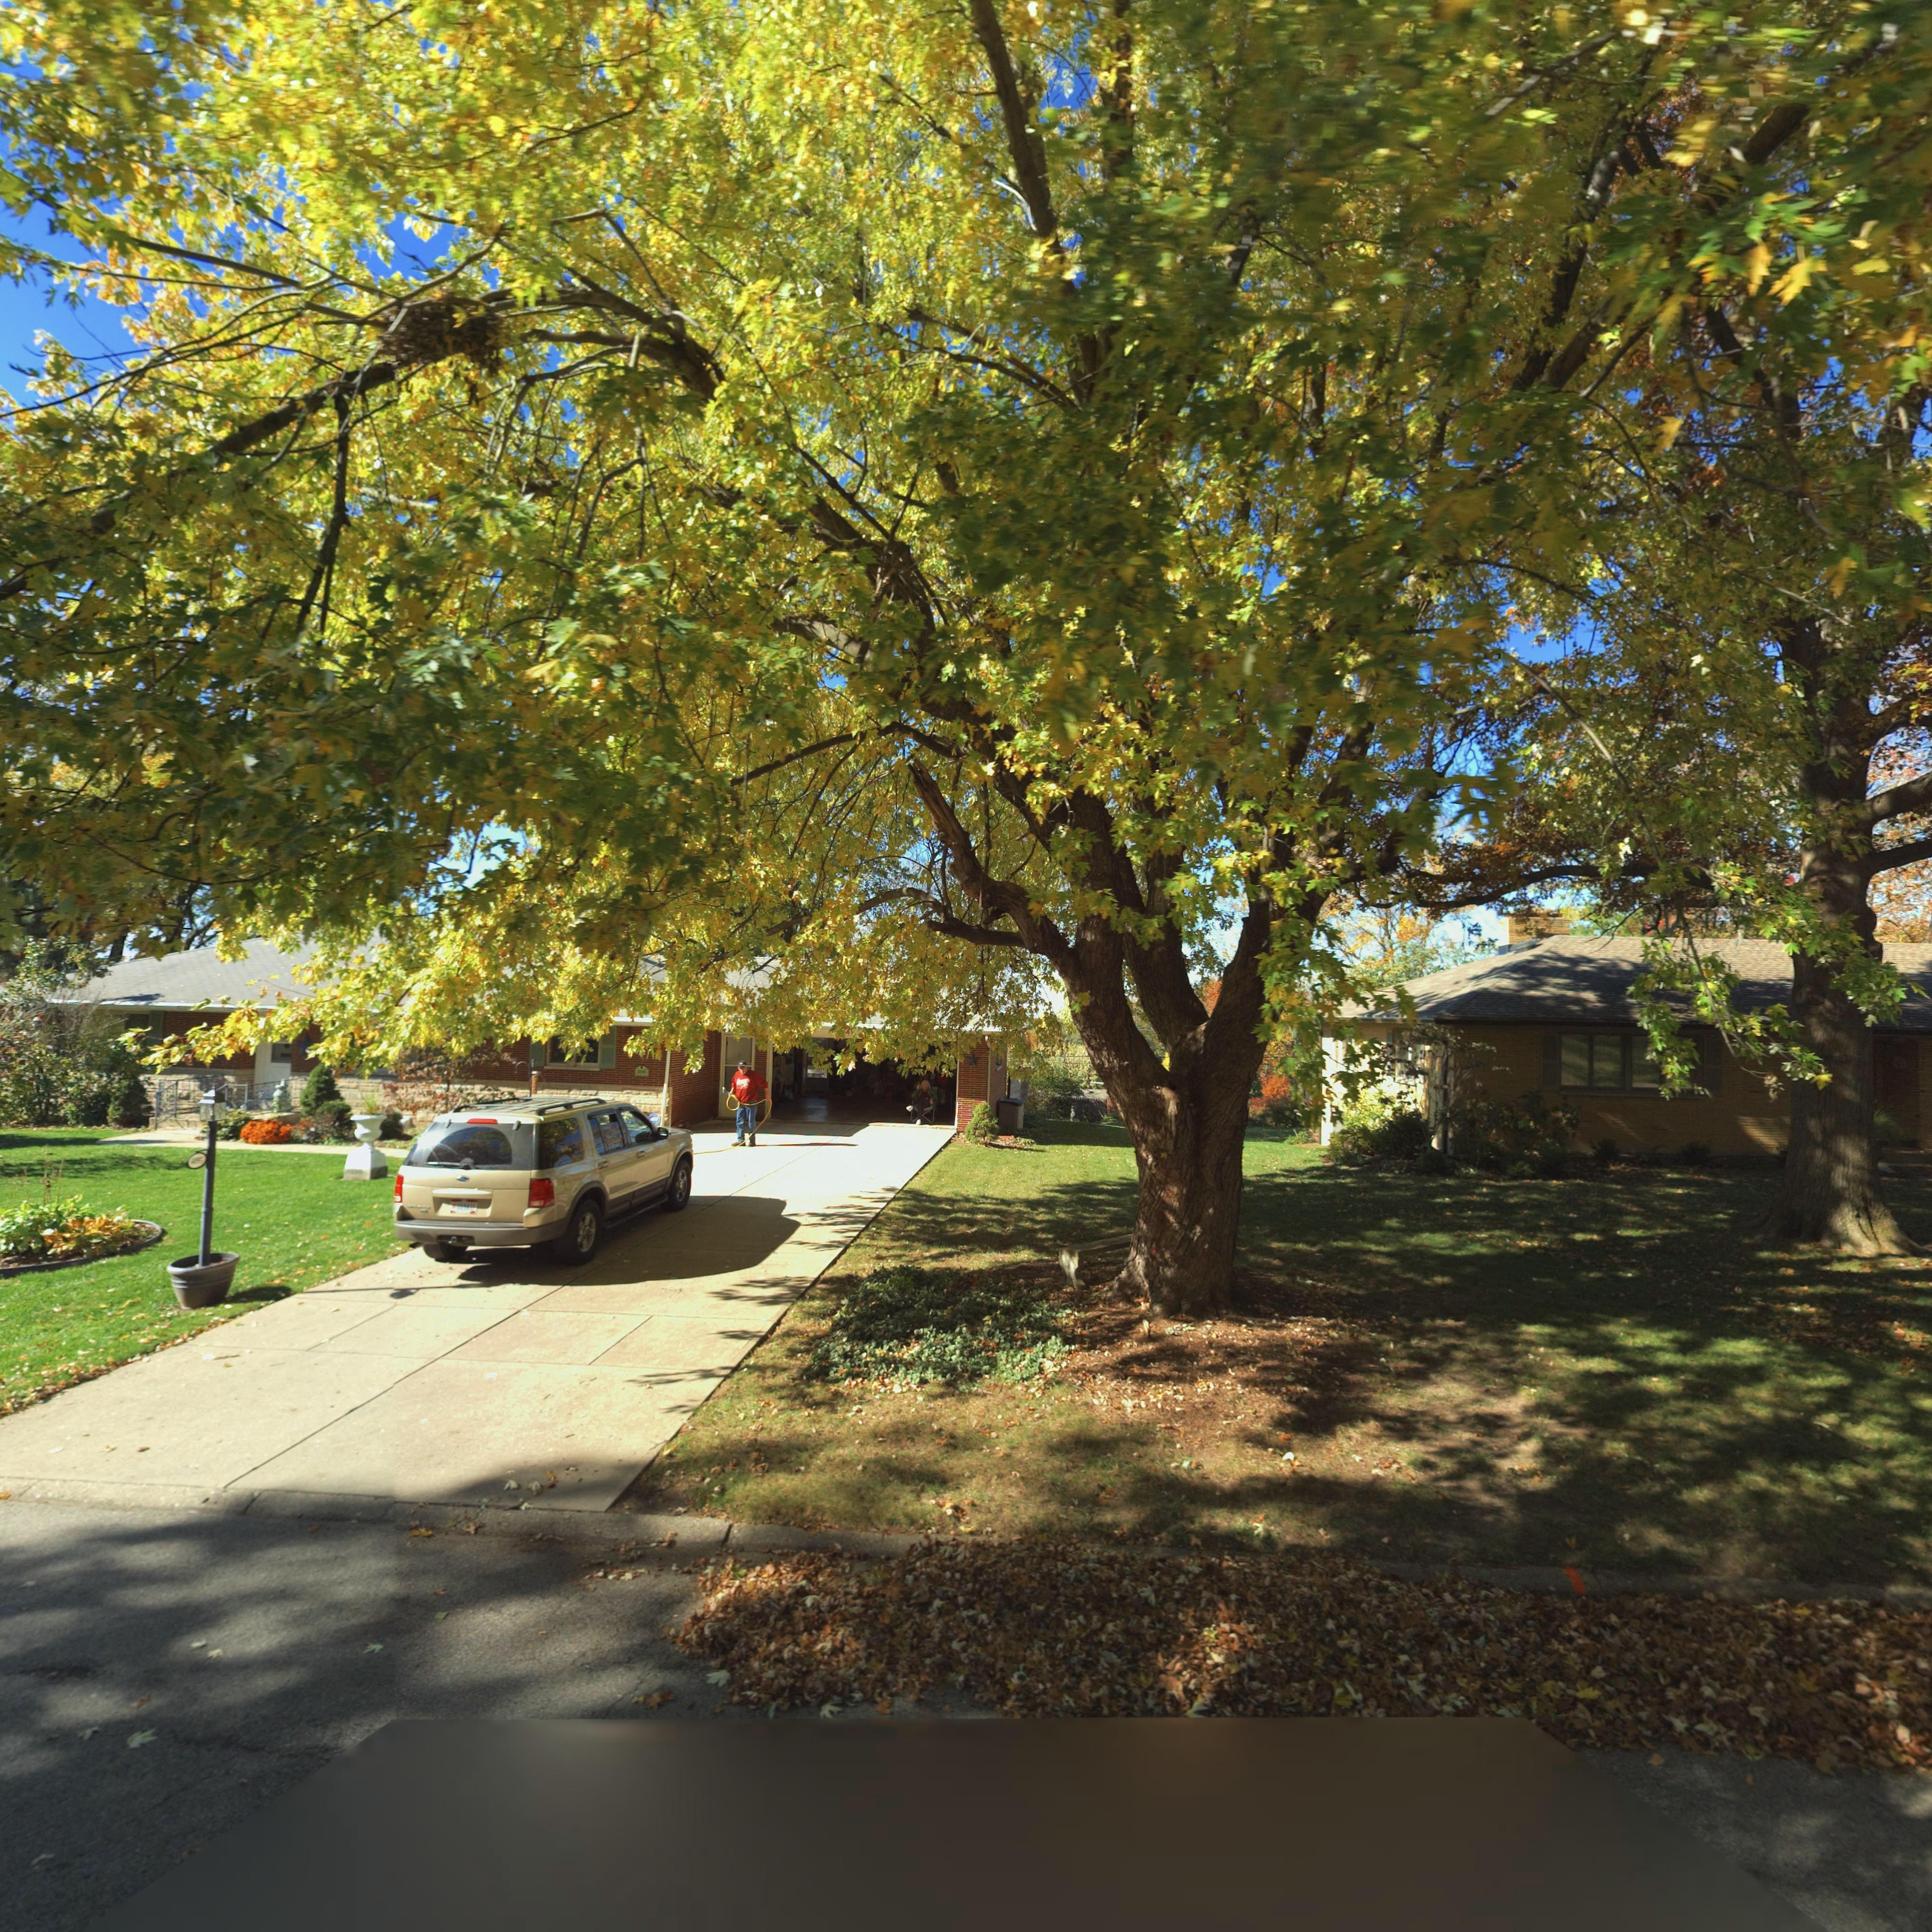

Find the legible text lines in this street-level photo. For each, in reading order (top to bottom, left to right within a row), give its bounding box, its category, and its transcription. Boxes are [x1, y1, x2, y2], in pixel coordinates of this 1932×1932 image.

[637, 1069, 647, 1074] StreetNumber: 4**3
[190, 1156, 203, 1166] StreetNumber: 4095